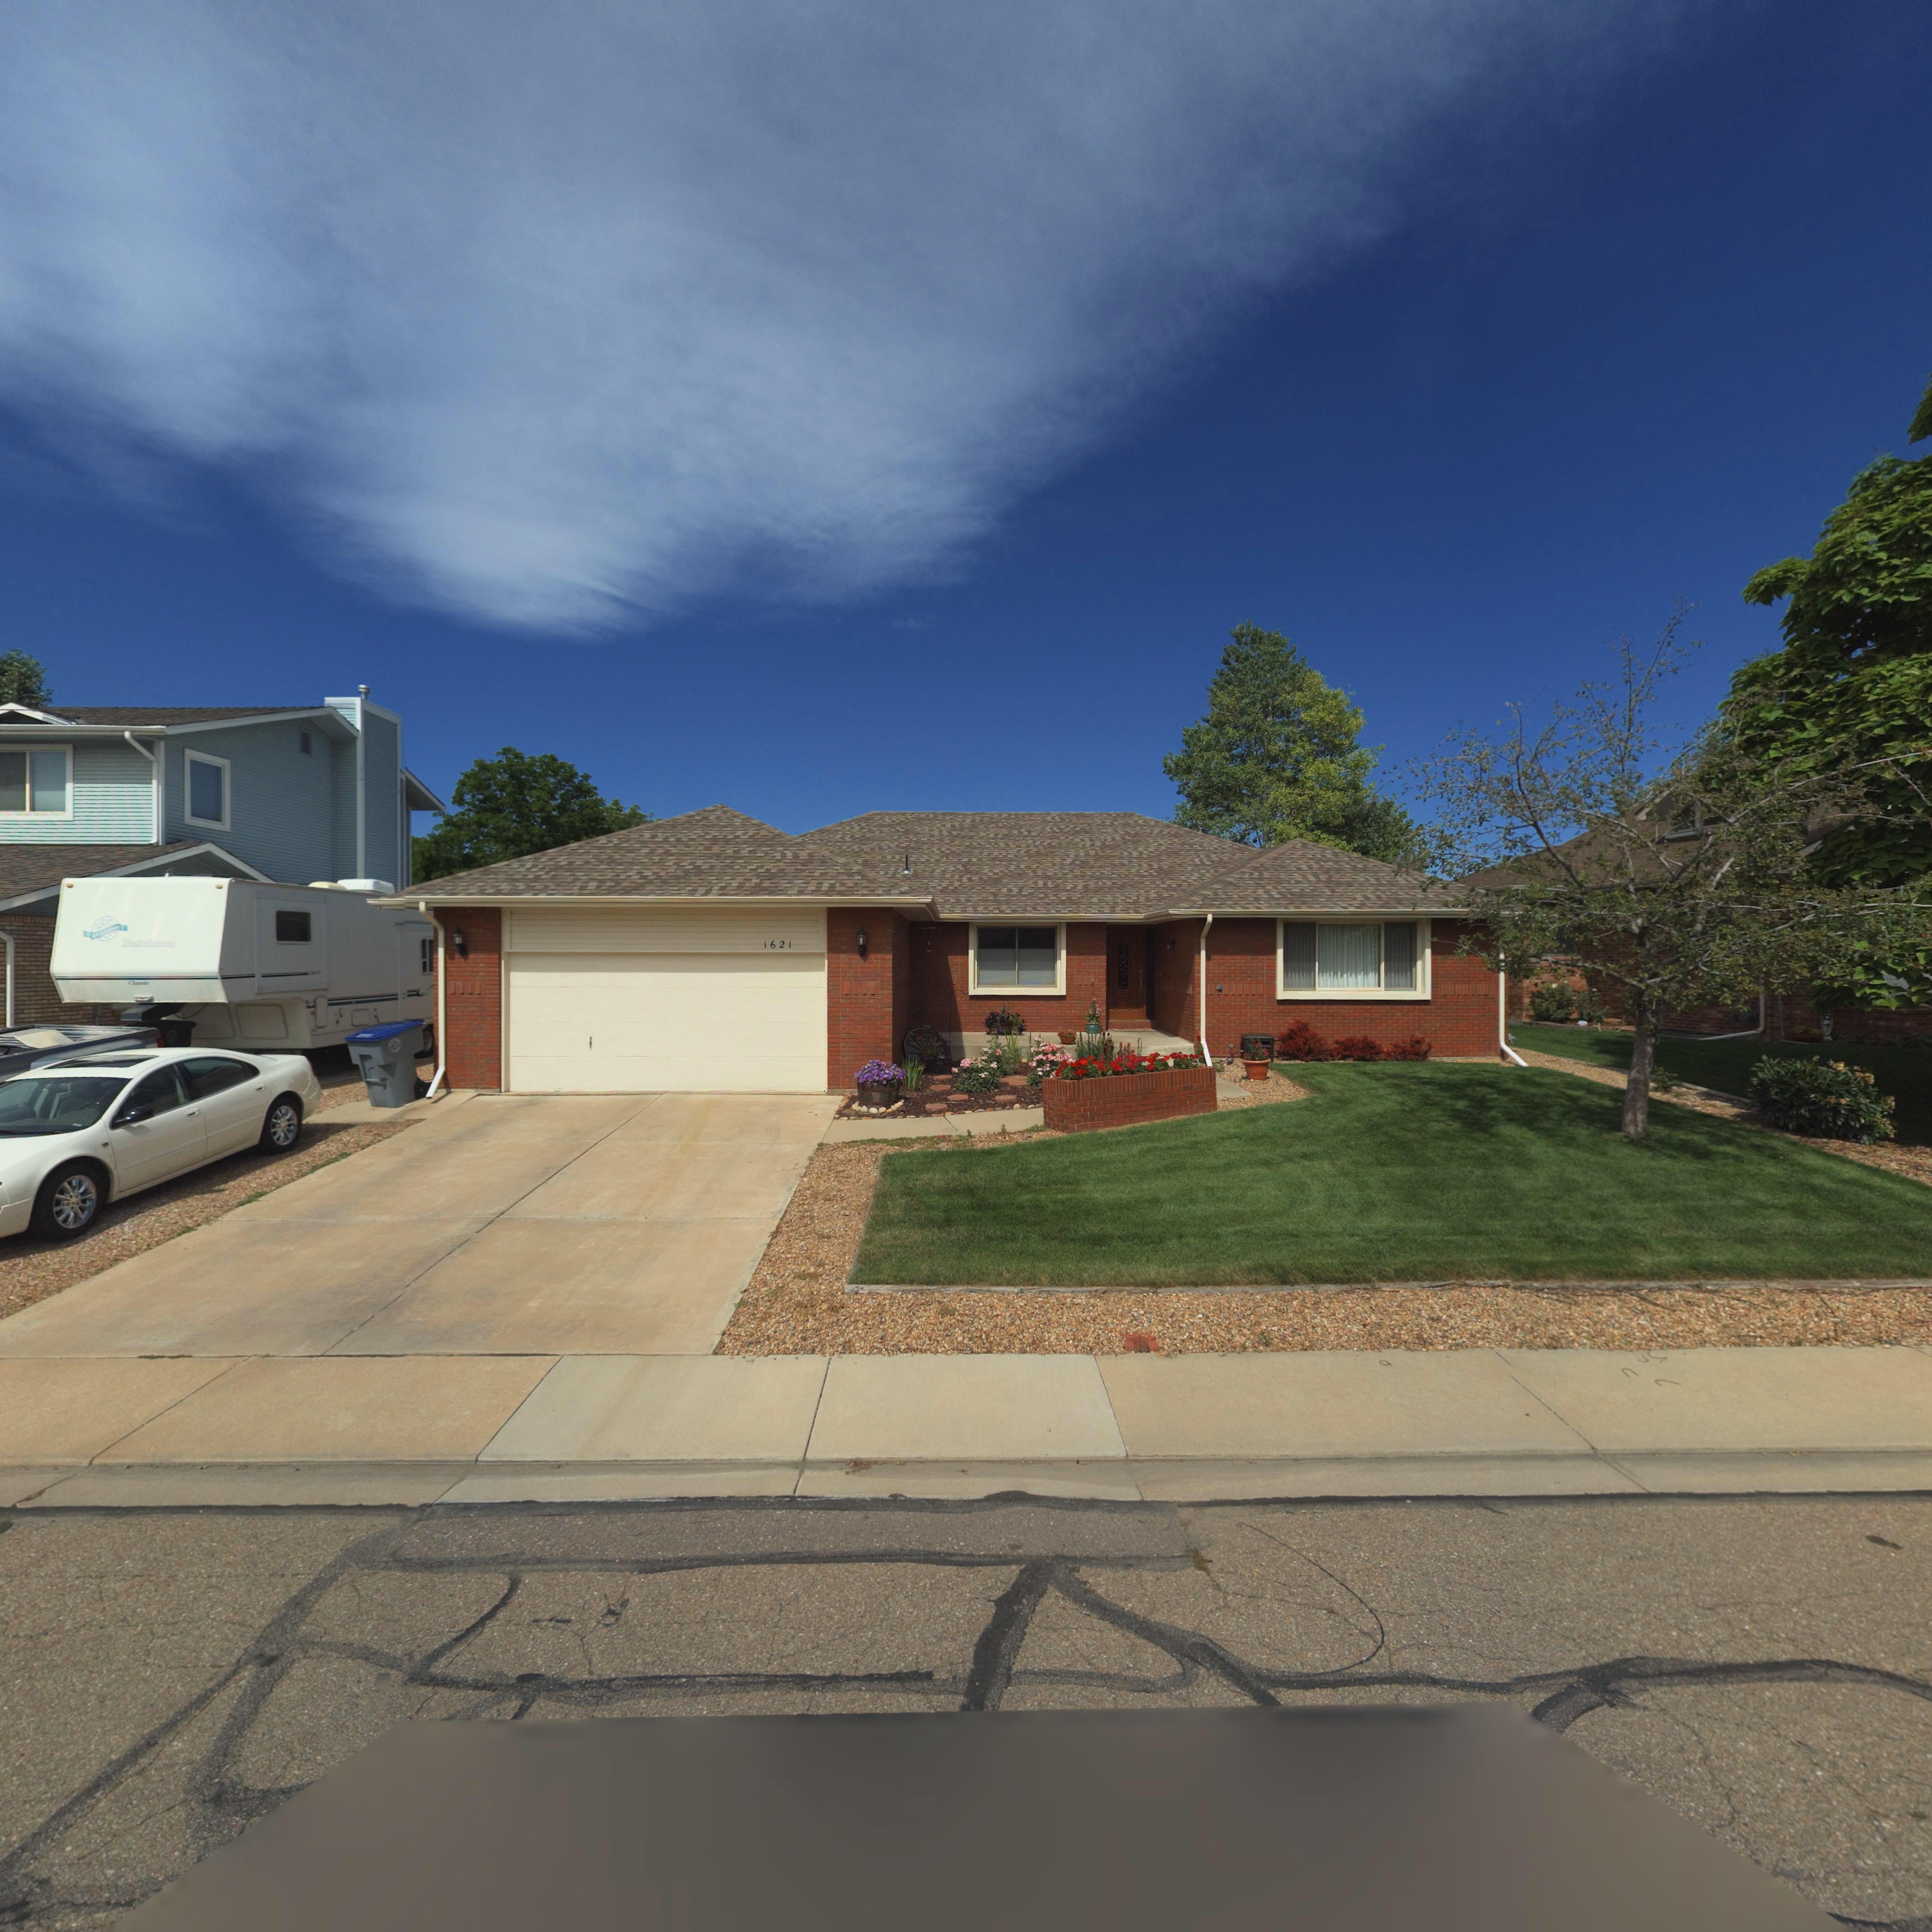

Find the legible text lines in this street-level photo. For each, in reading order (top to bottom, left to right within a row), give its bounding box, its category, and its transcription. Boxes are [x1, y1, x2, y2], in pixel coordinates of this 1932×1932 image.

[763, 938, 792, 950] StreetNumber: 1621